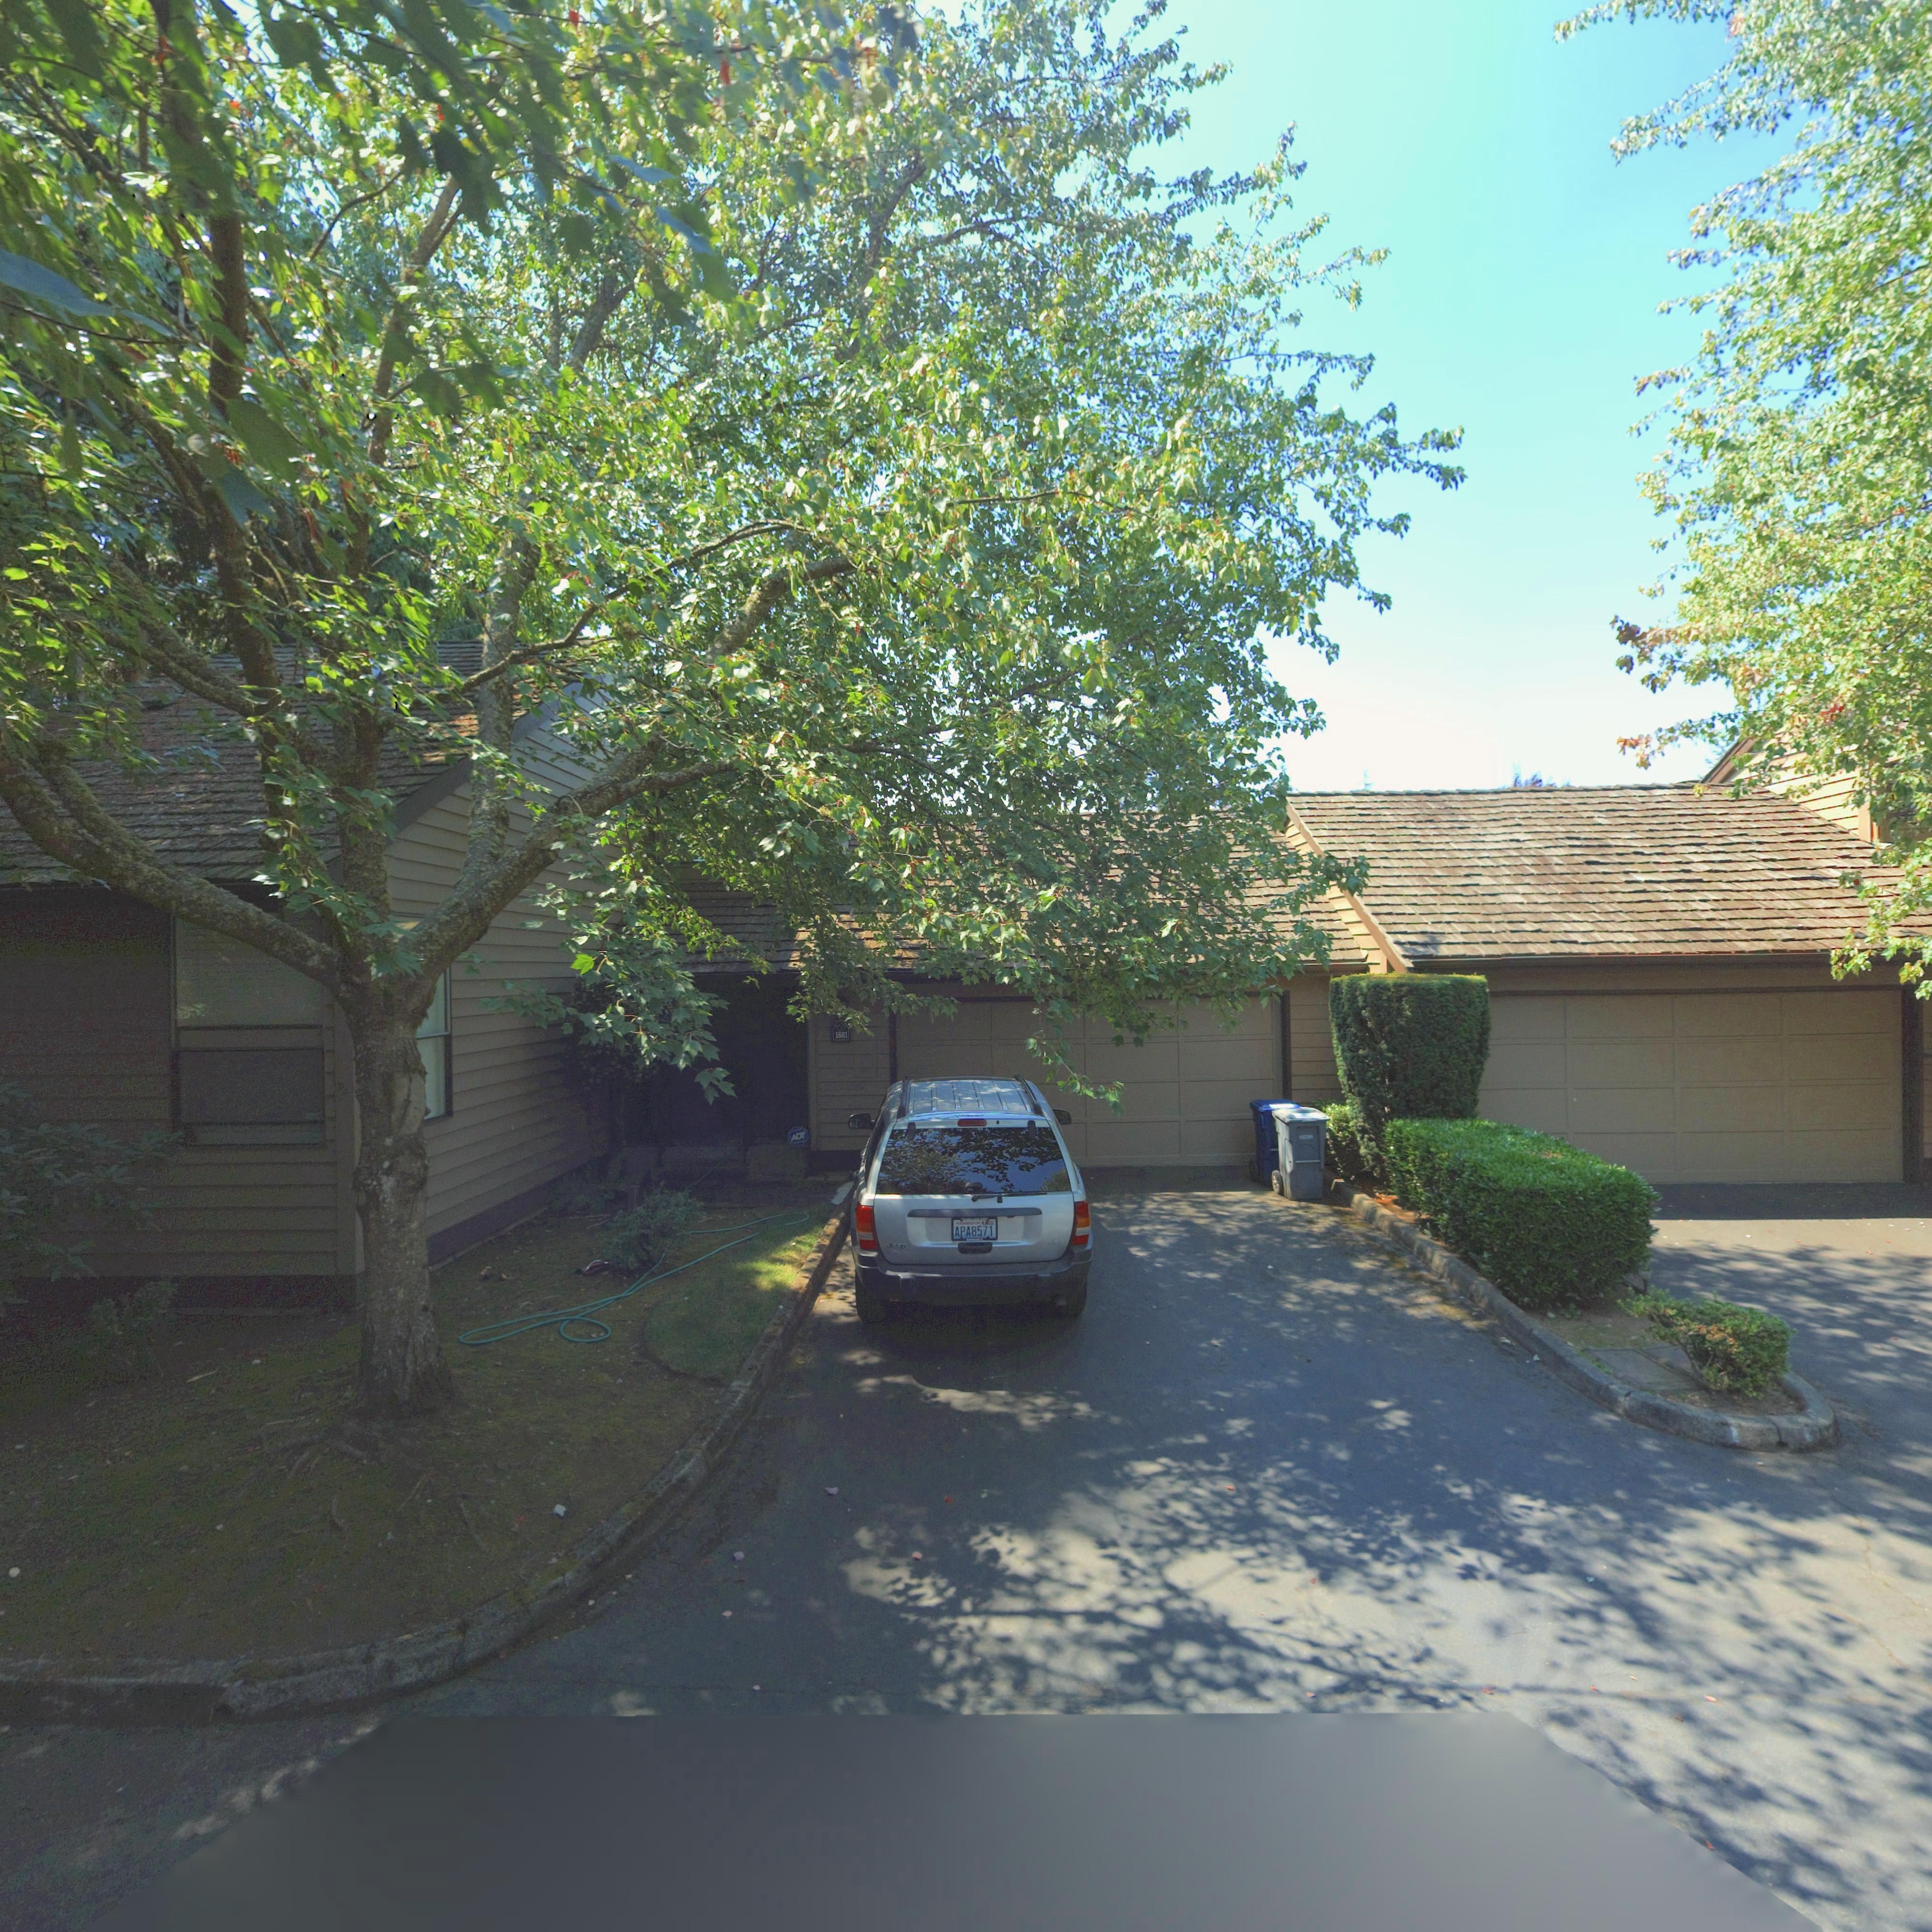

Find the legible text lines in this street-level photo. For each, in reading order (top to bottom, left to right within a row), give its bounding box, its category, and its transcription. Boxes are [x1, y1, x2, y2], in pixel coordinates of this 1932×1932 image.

[836, 1032, 848, 1038] StreetNumber: 1601